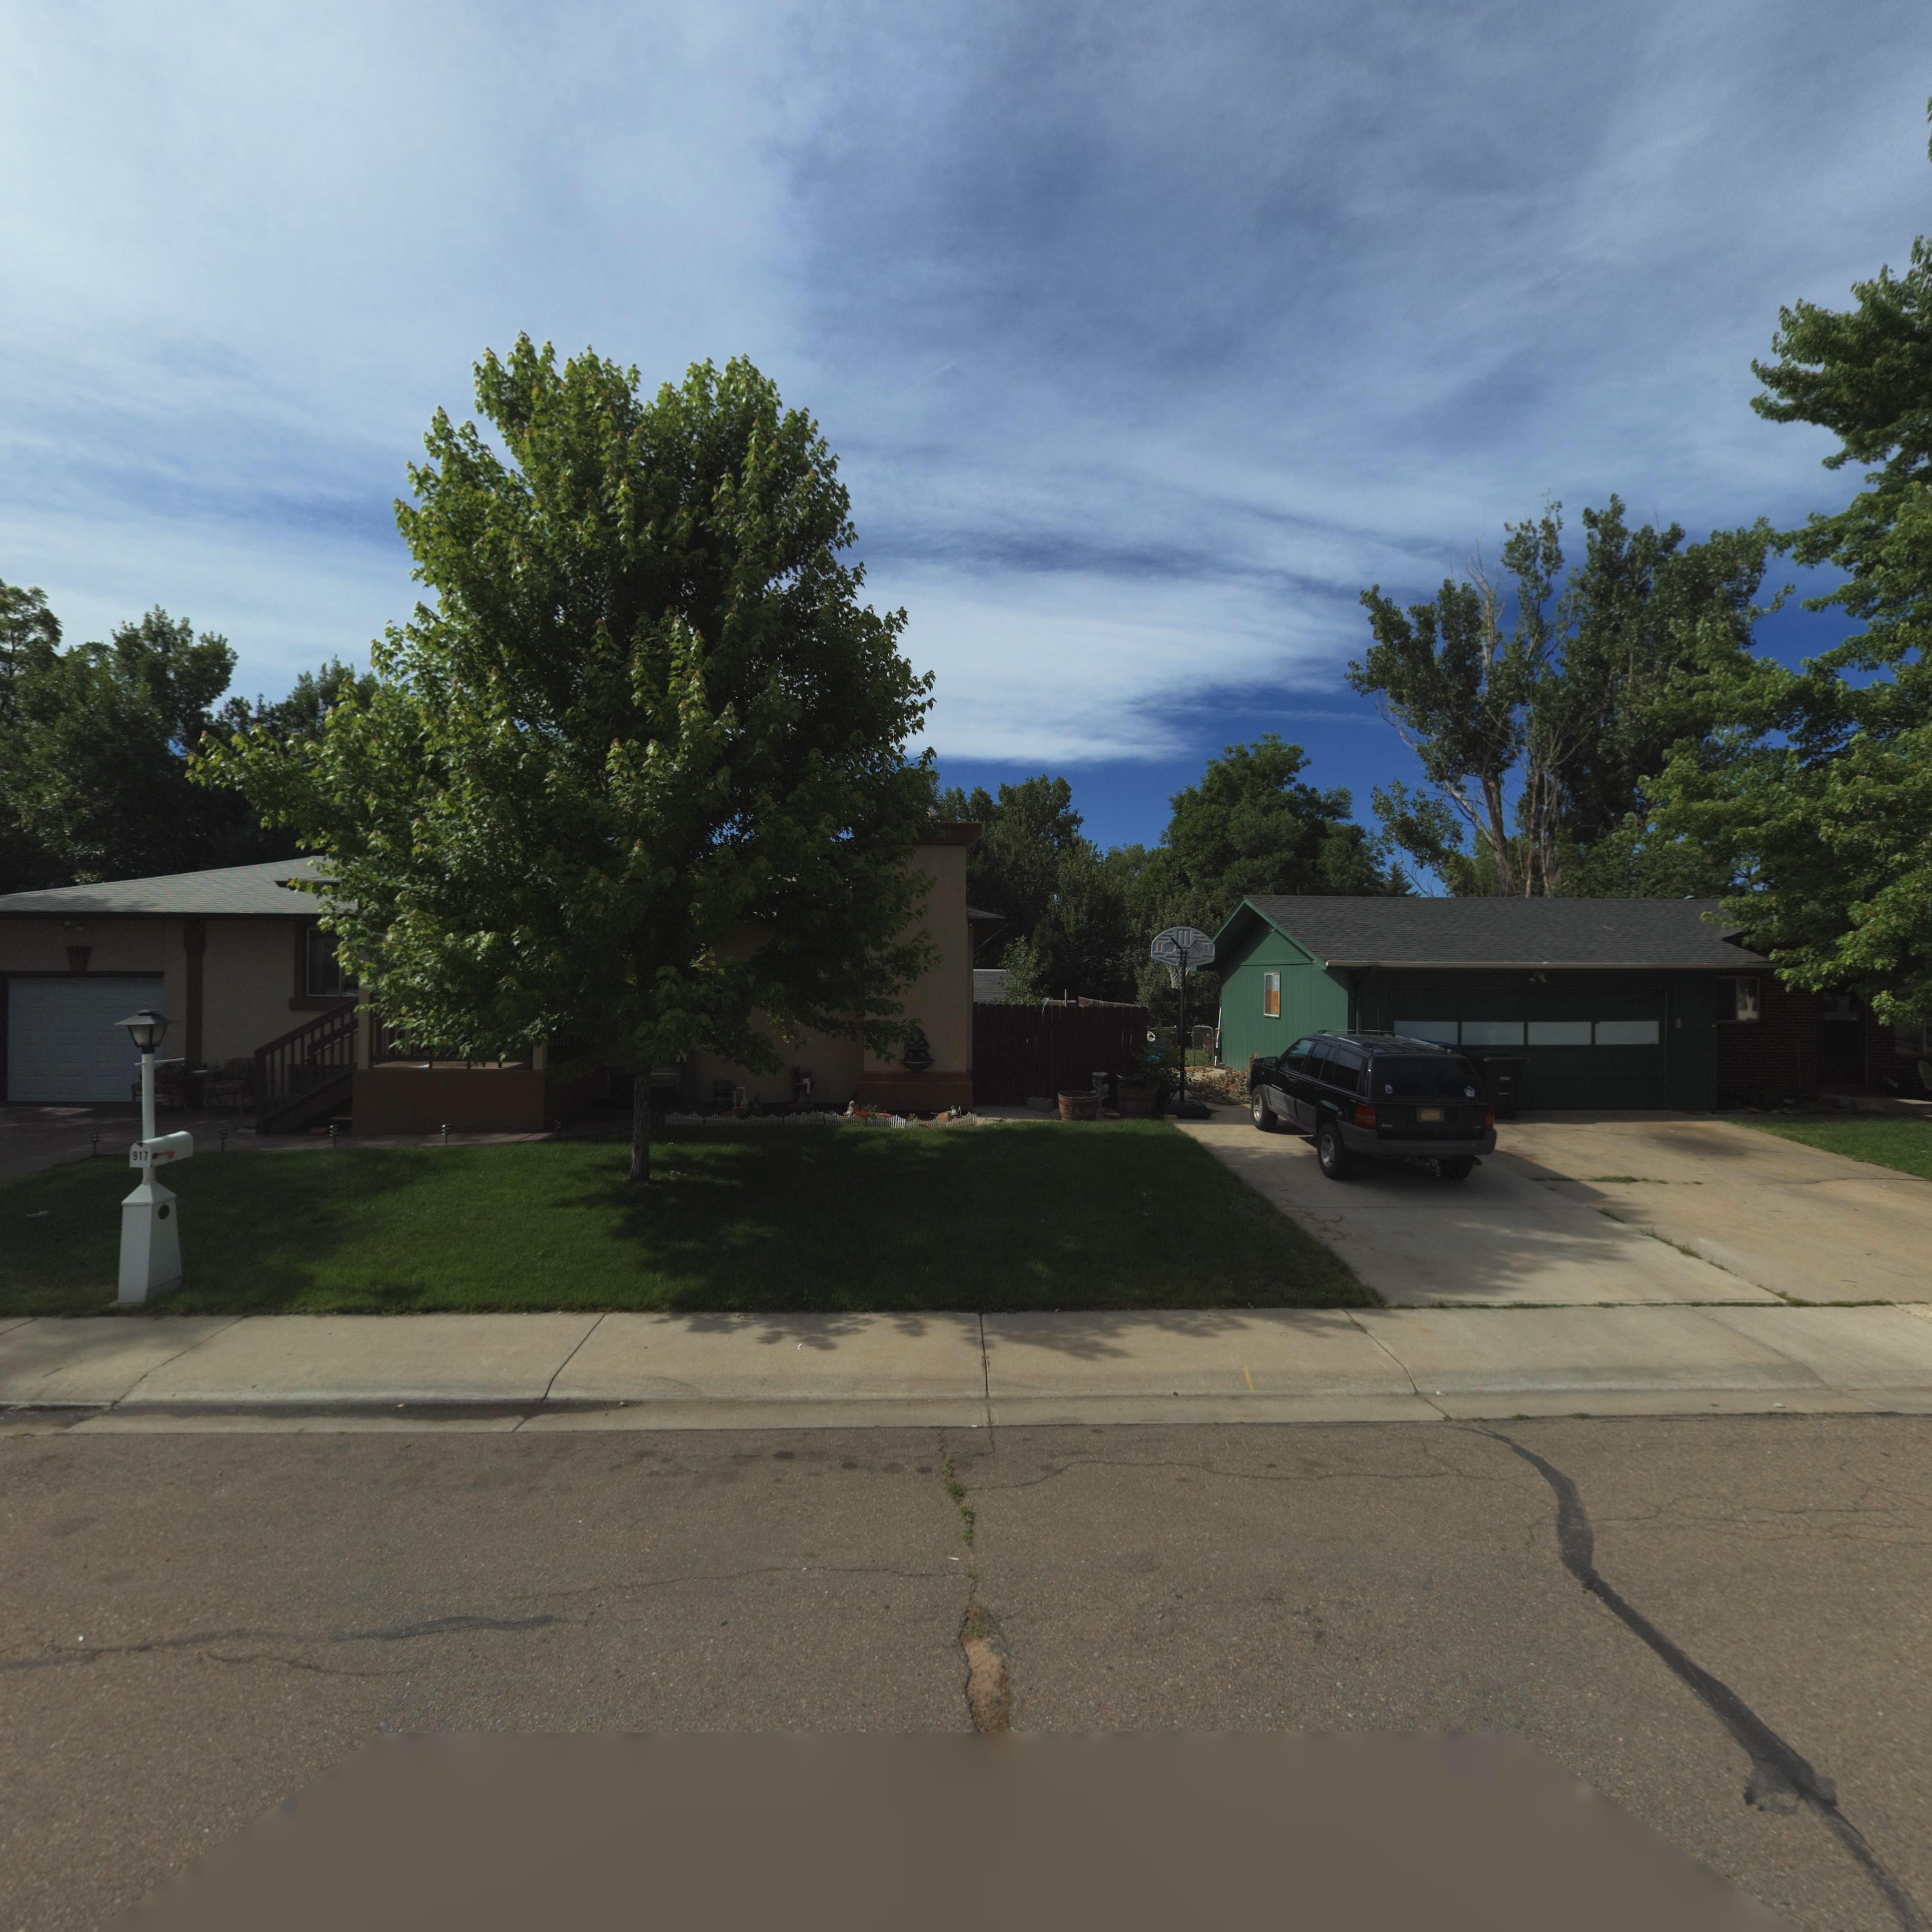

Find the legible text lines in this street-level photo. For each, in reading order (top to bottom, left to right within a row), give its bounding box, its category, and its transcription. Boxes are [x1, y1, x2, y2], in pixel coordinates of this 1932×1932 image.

[132, 1150, 149, 1161] StreetNumber: 917